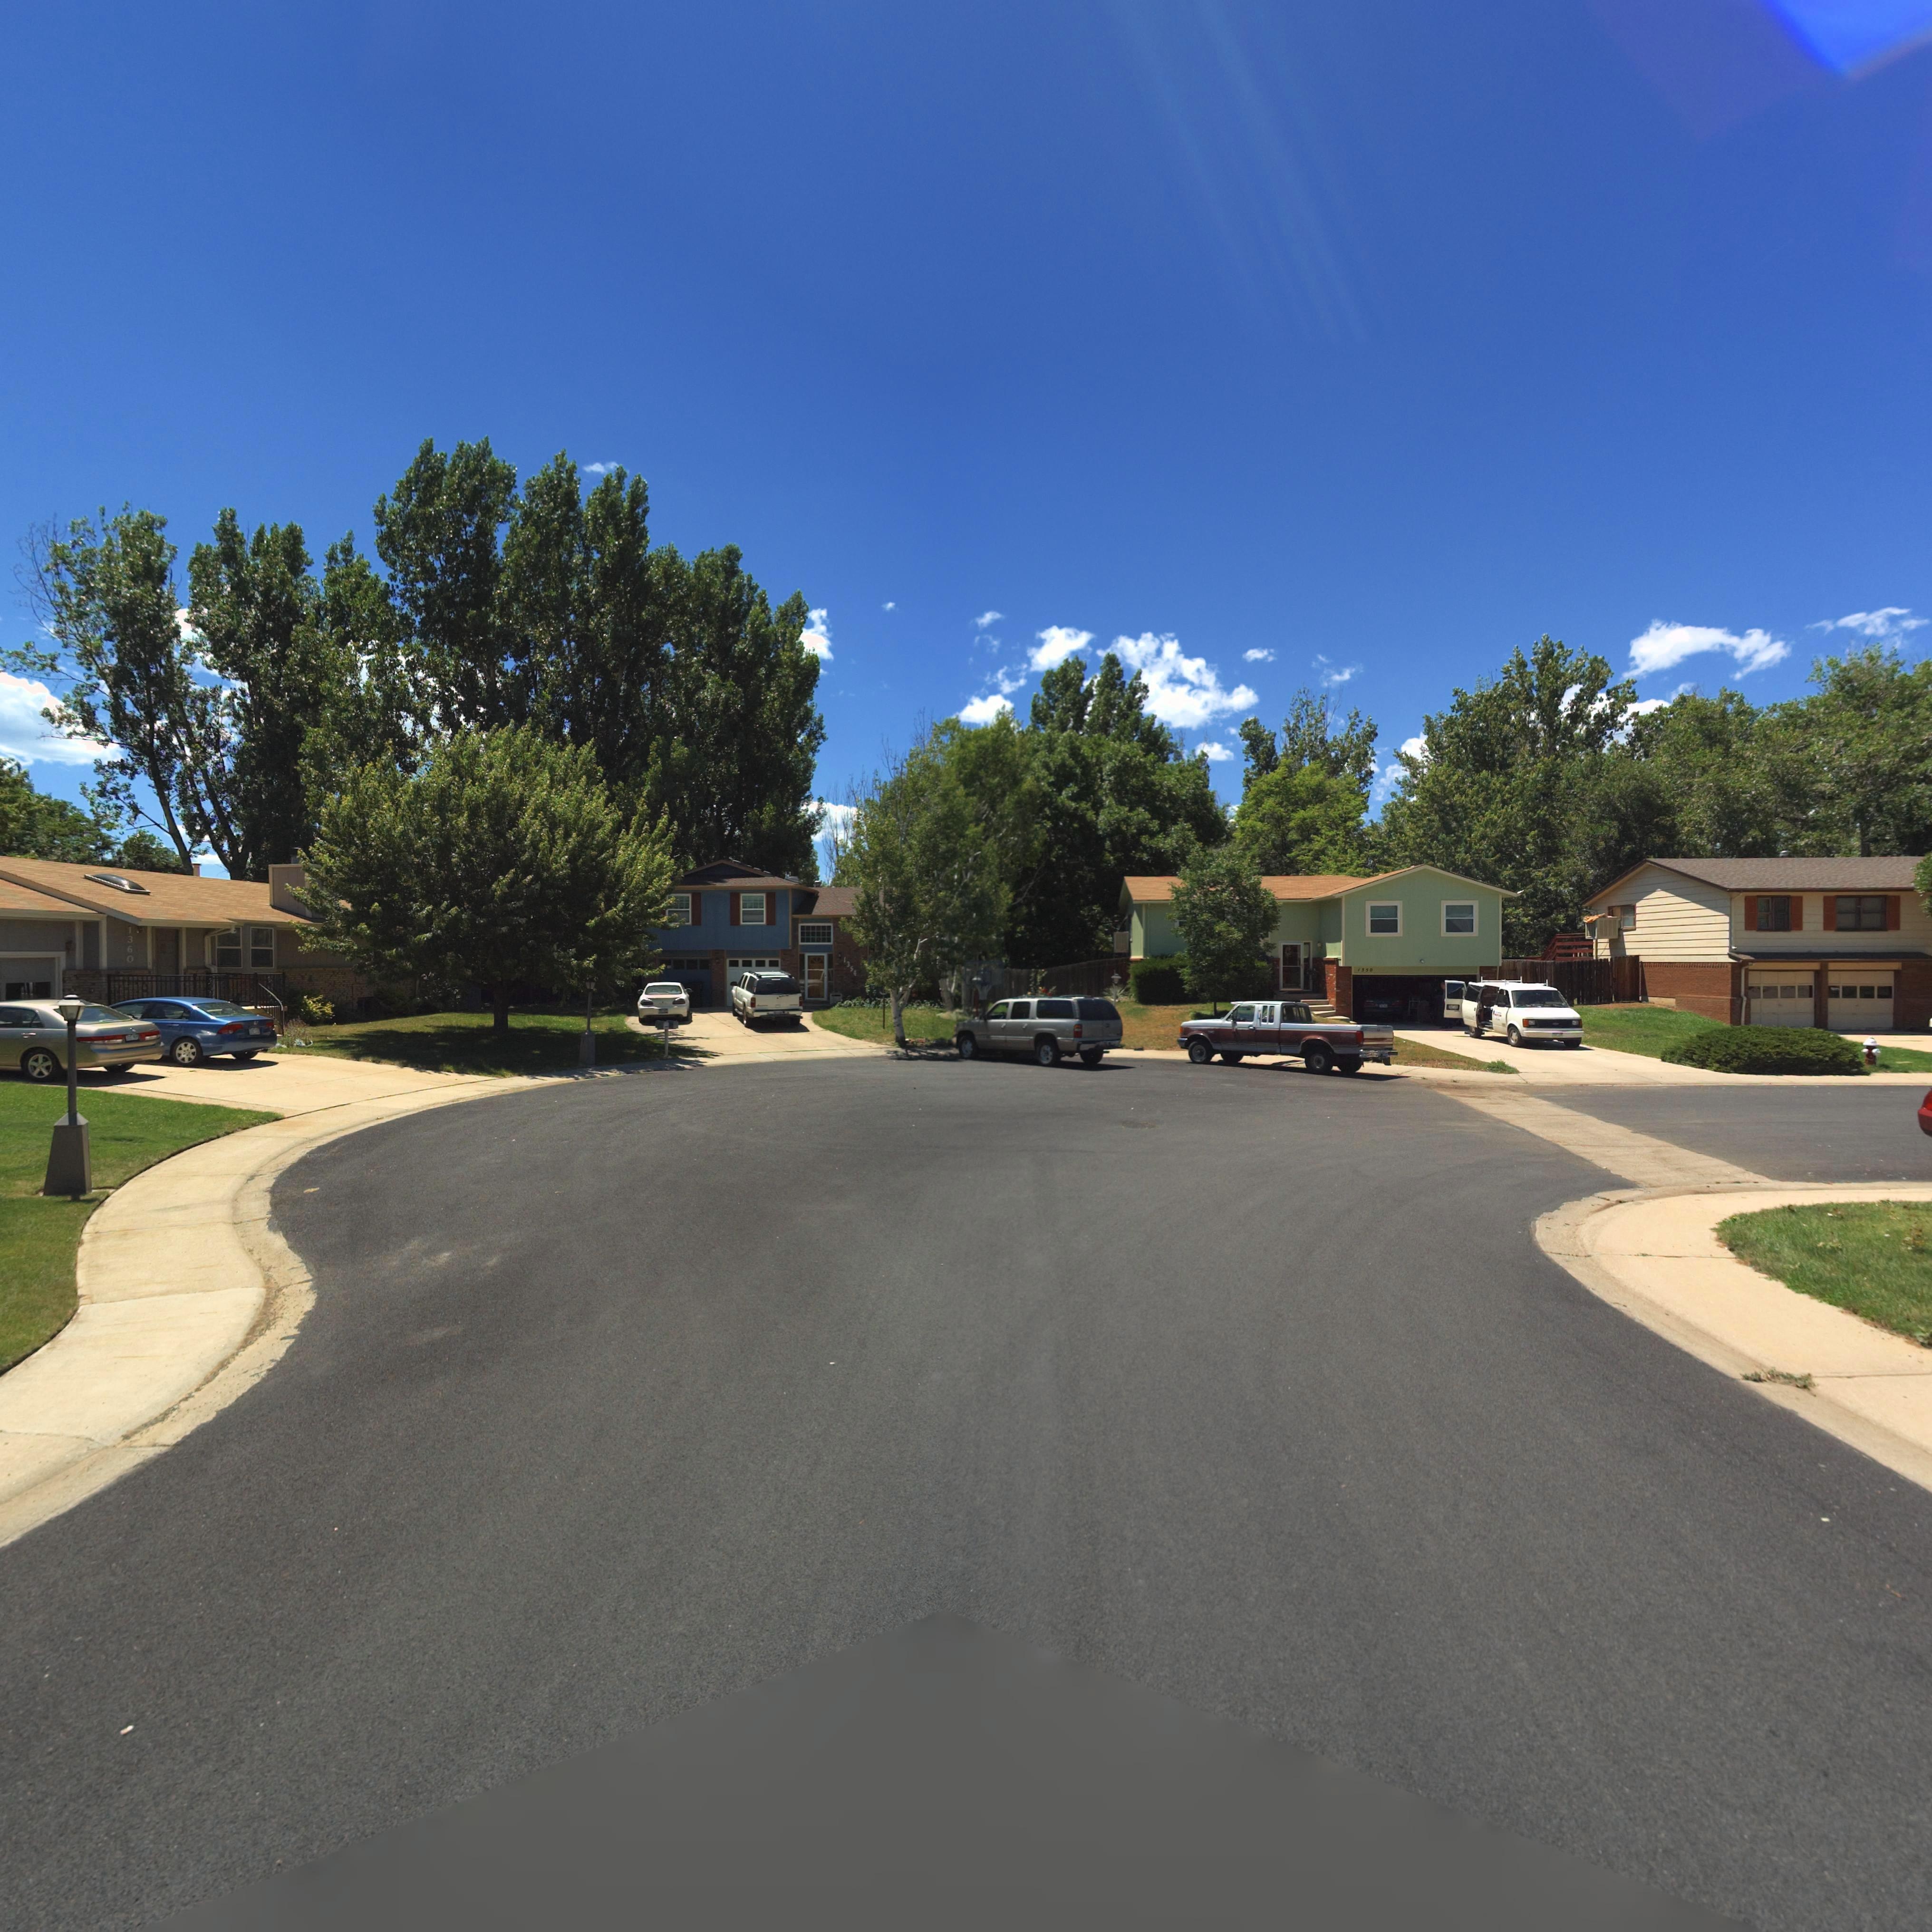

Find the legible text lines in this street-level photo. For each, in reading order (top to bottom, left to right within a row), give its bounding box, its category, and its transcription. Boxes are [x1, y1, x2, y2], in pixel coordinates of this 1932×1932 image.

[126, 926, 134, 963] StreetNumber: 1360
[844, 956, 856, 976] StreetNumber: 1354
[1357, 967, 1373, 972] StreetNumber: 1350